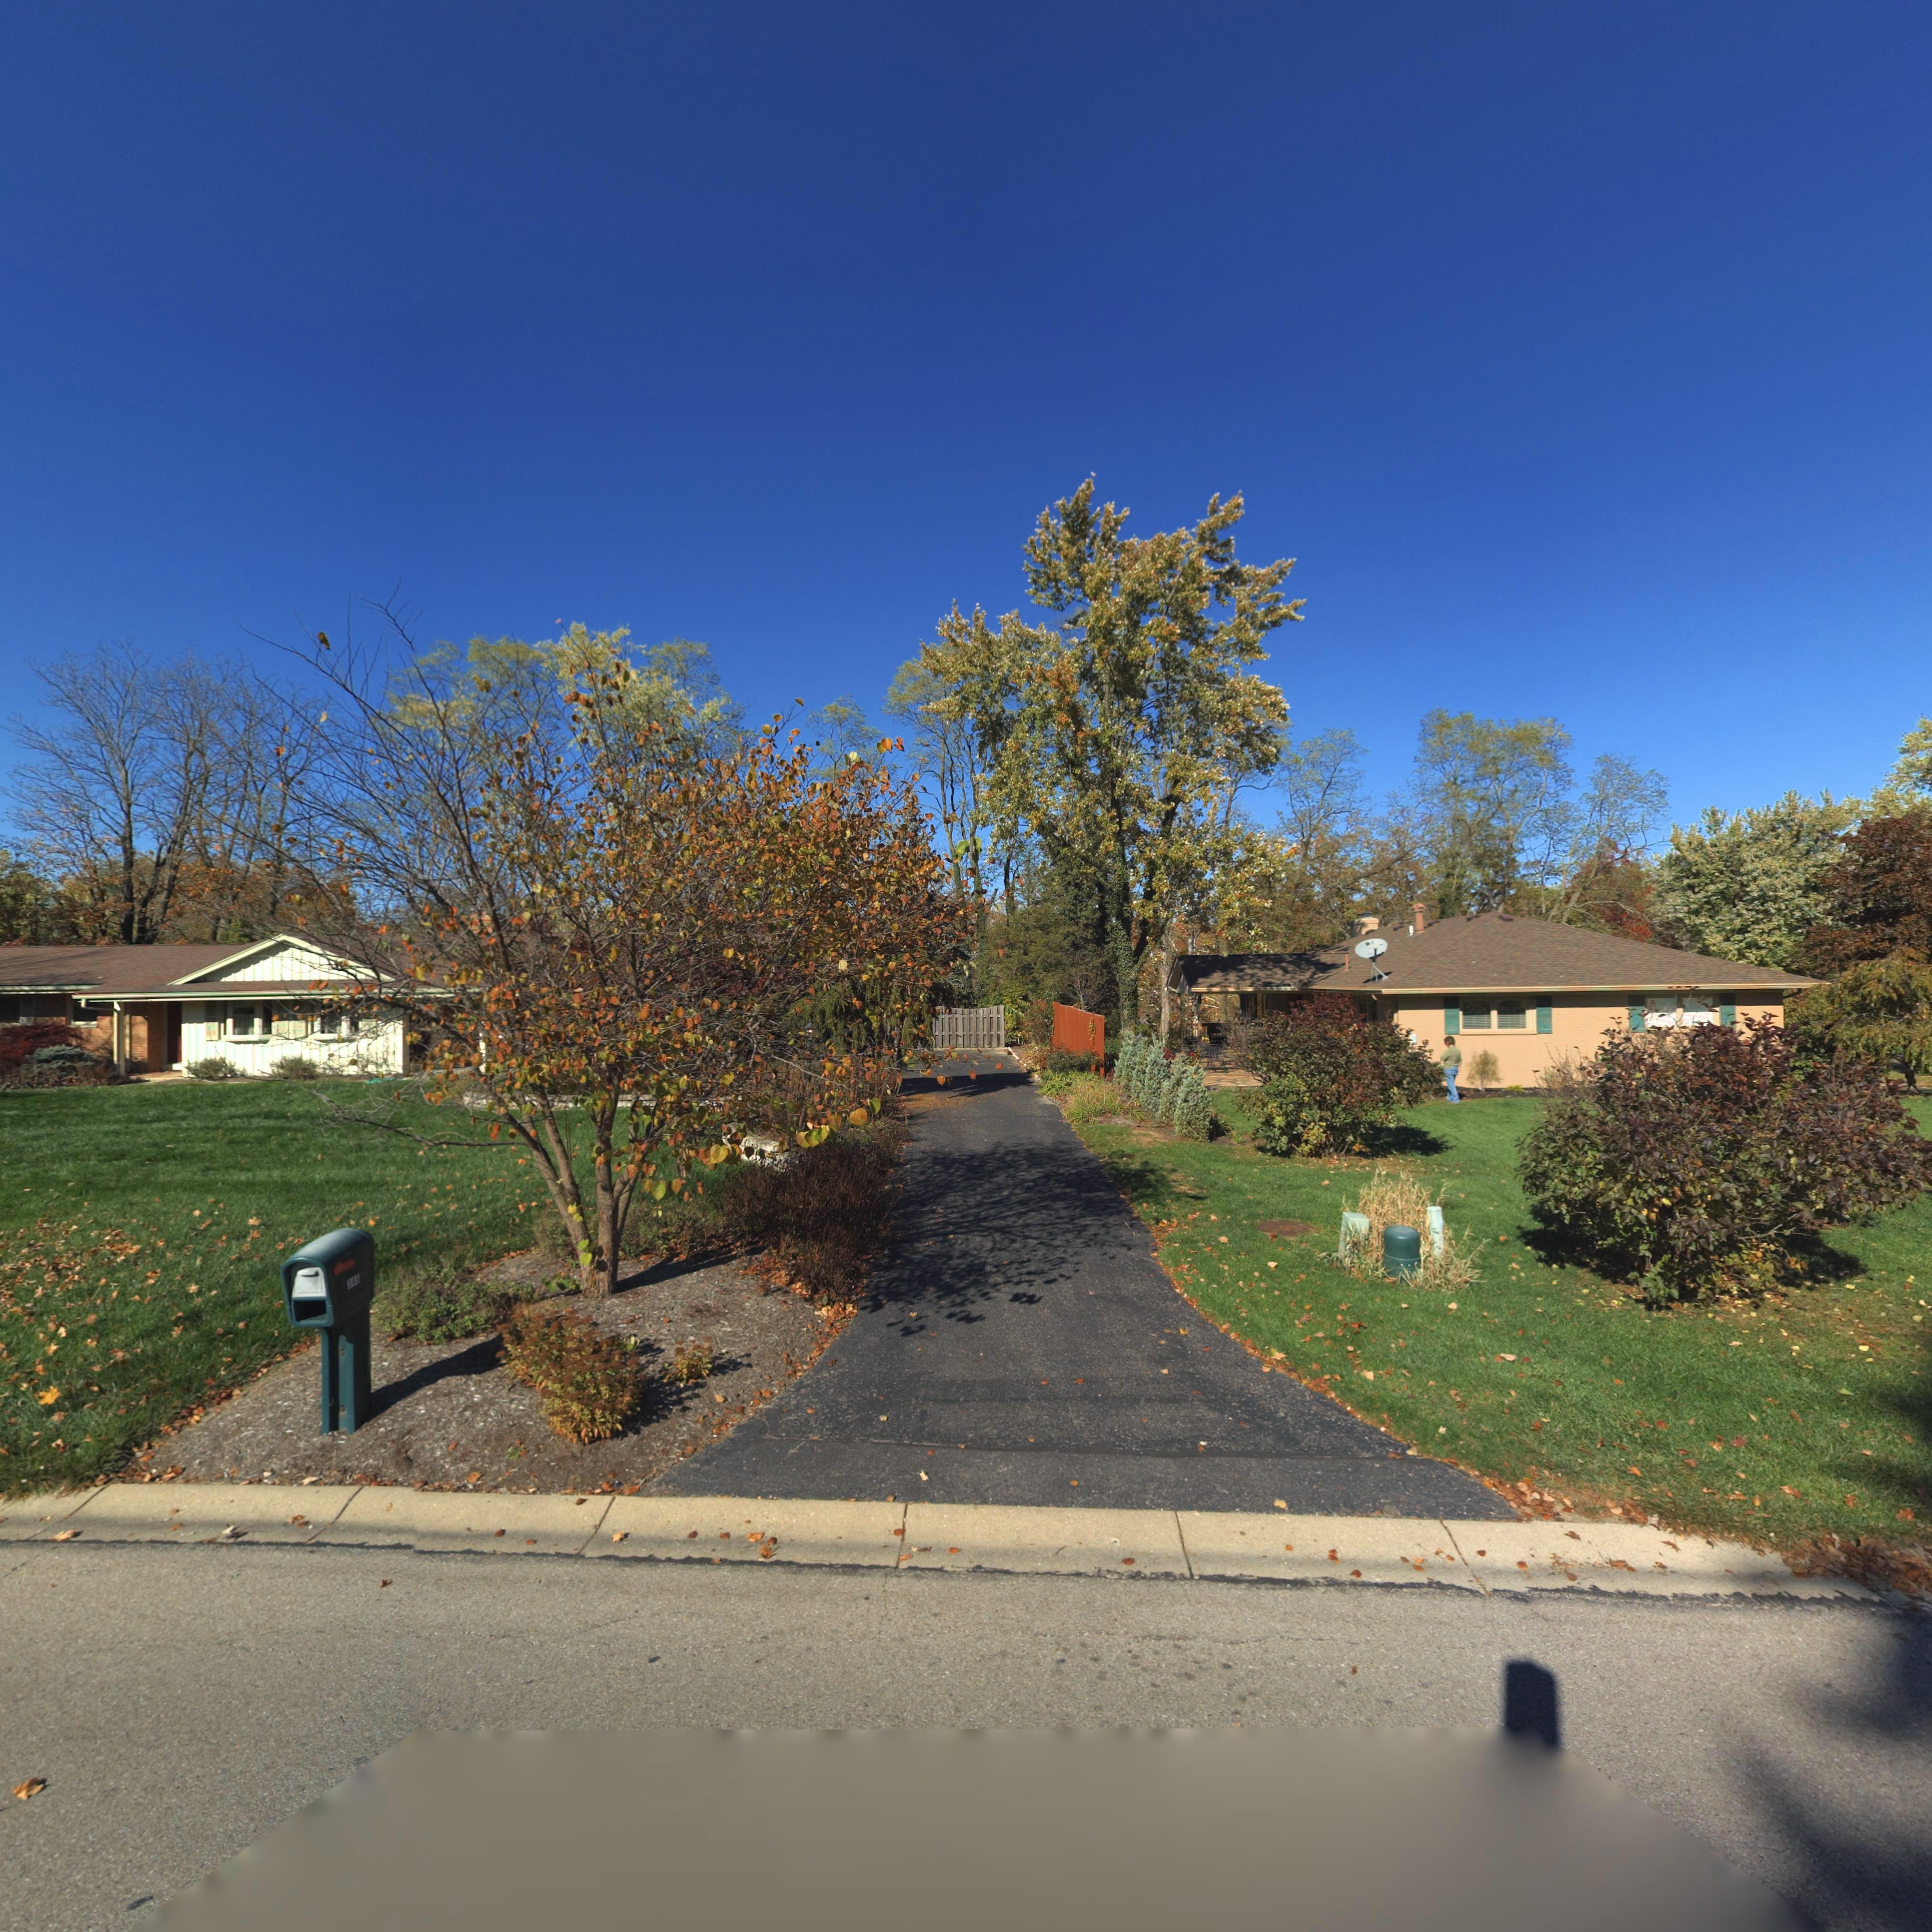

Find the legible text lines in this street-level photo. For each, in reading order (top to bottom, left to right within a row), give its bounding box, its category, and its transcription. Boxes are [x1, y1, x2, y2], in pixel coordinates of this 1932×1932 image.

[347, 1273, 359, 1289] StreetNumber: 345